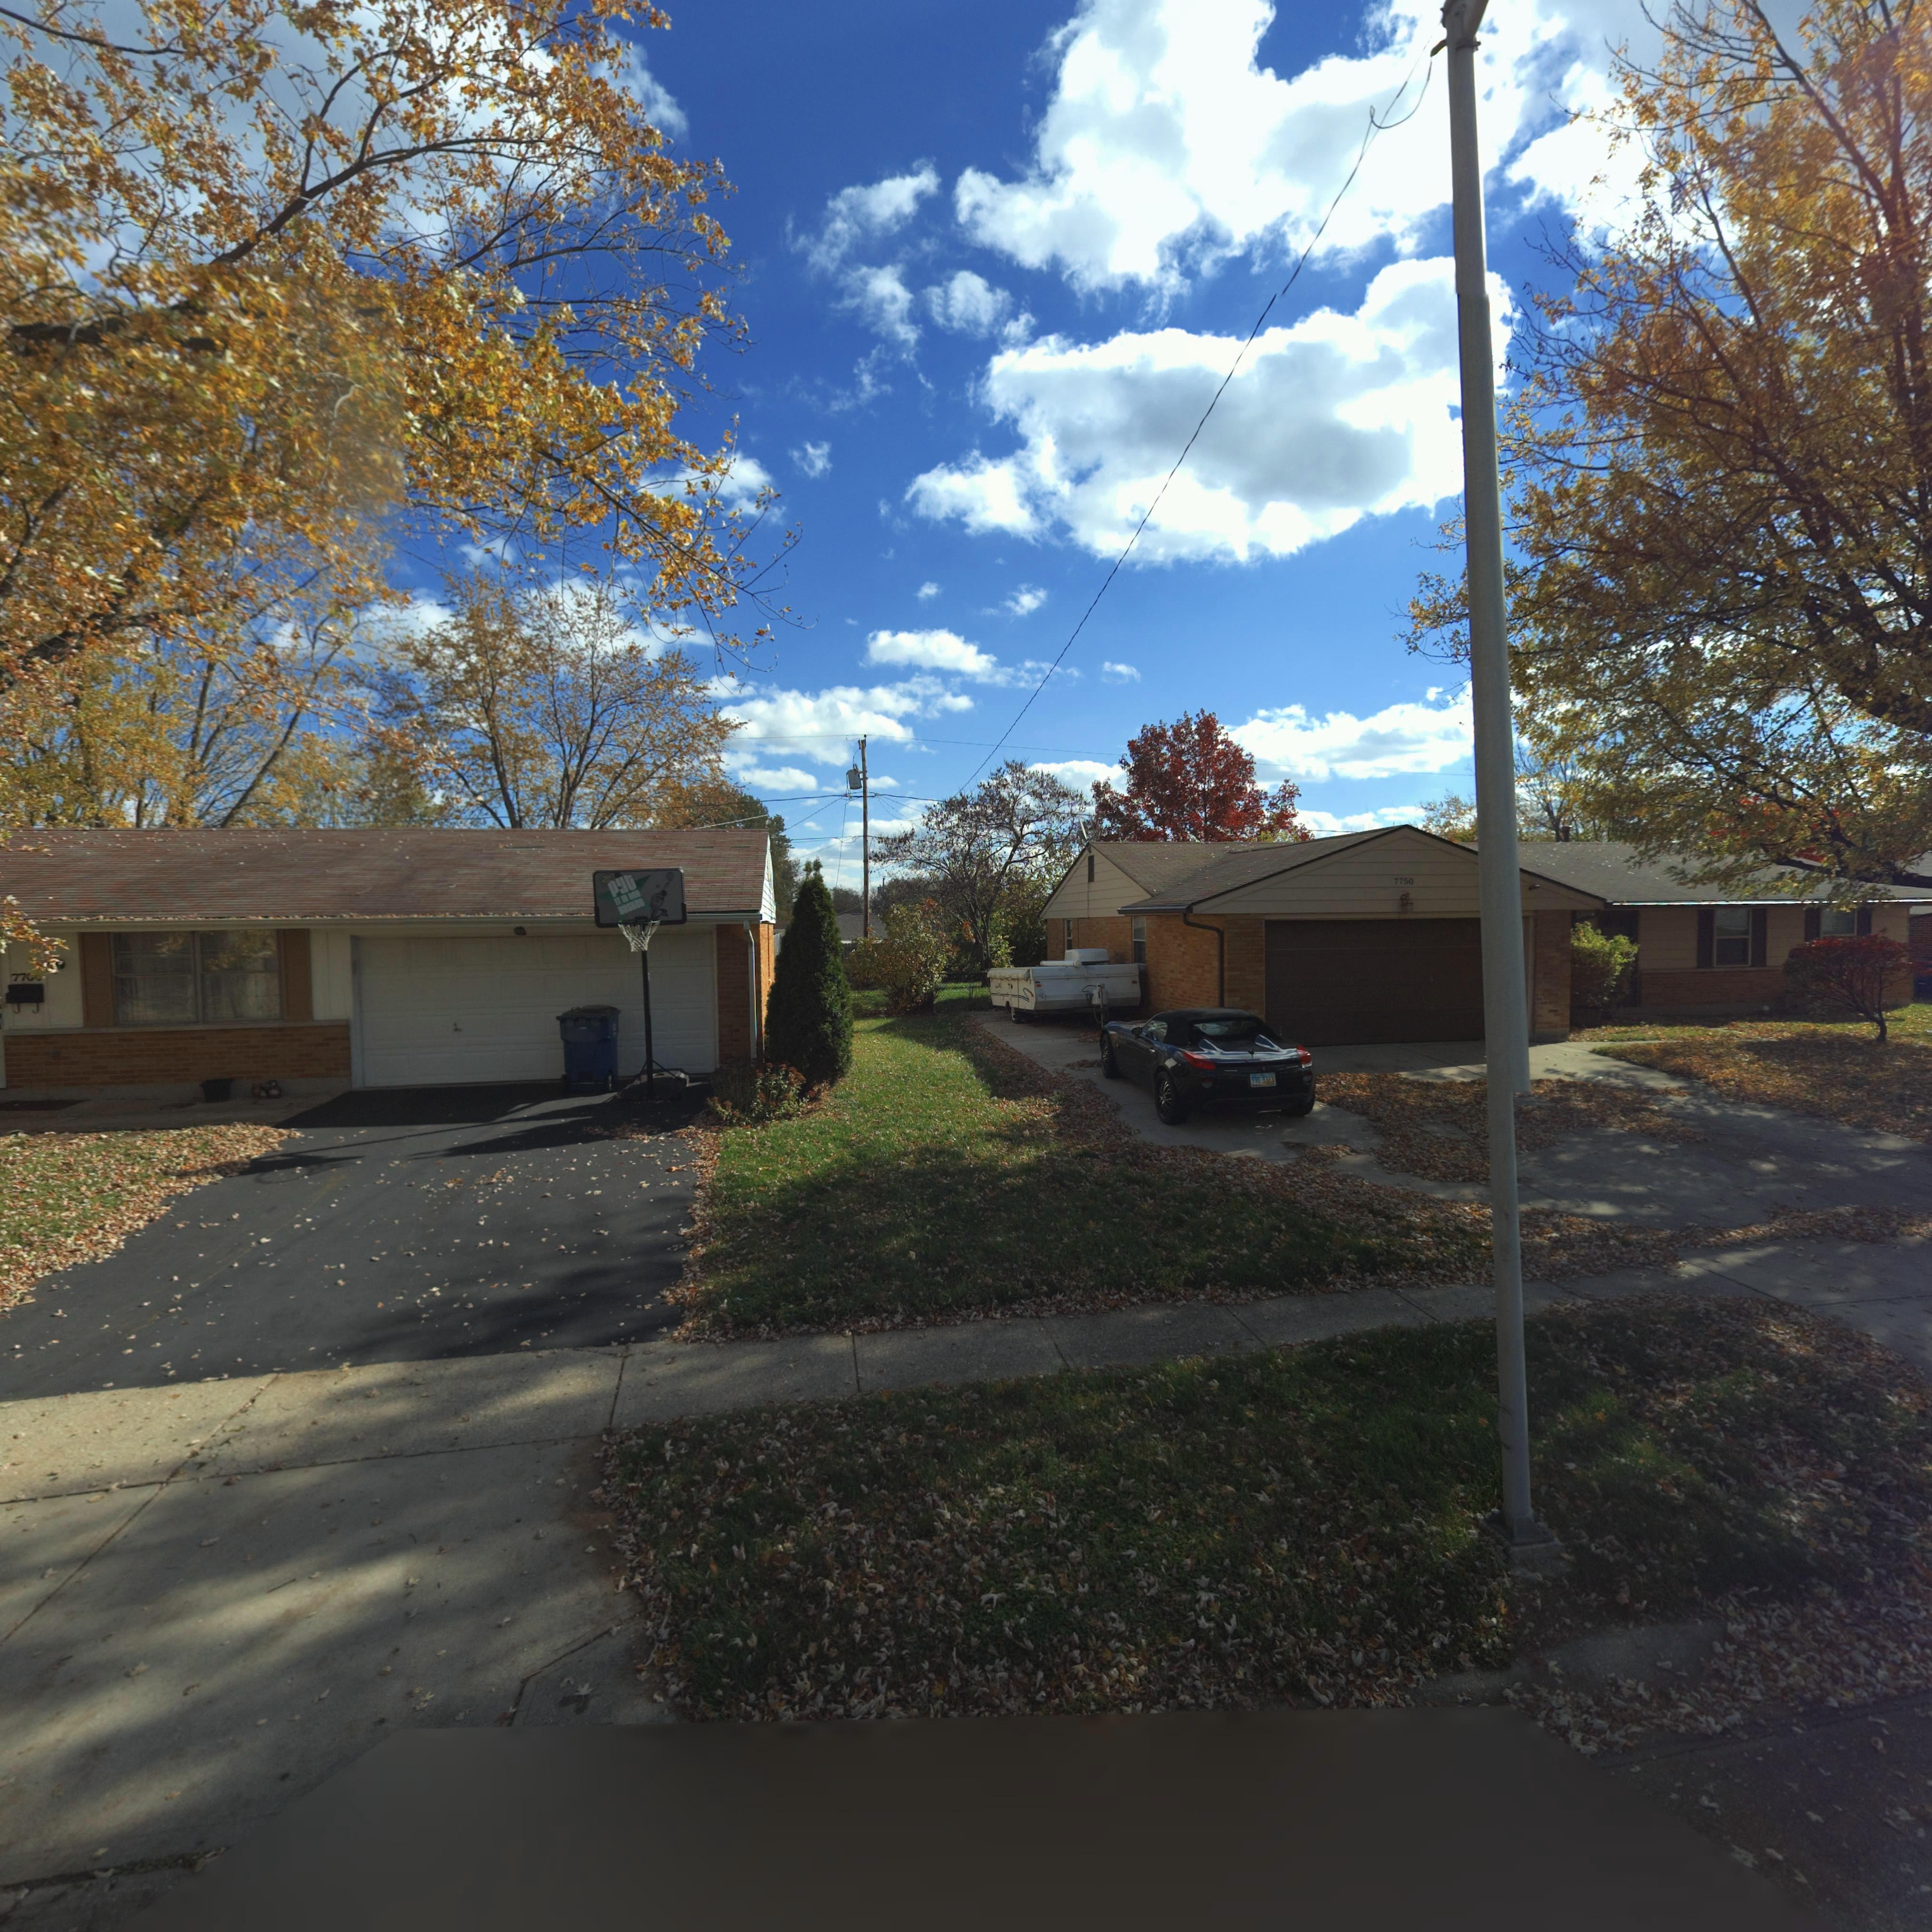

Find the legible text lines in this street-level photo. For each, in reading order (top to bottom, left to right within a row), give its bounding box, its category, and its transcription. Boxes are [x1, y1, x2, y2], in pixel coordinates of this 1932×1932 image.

[1393, 878, 1414, 885] StreetNumber: 7750
[10, 973, 27, 982] StreetNumber: 77